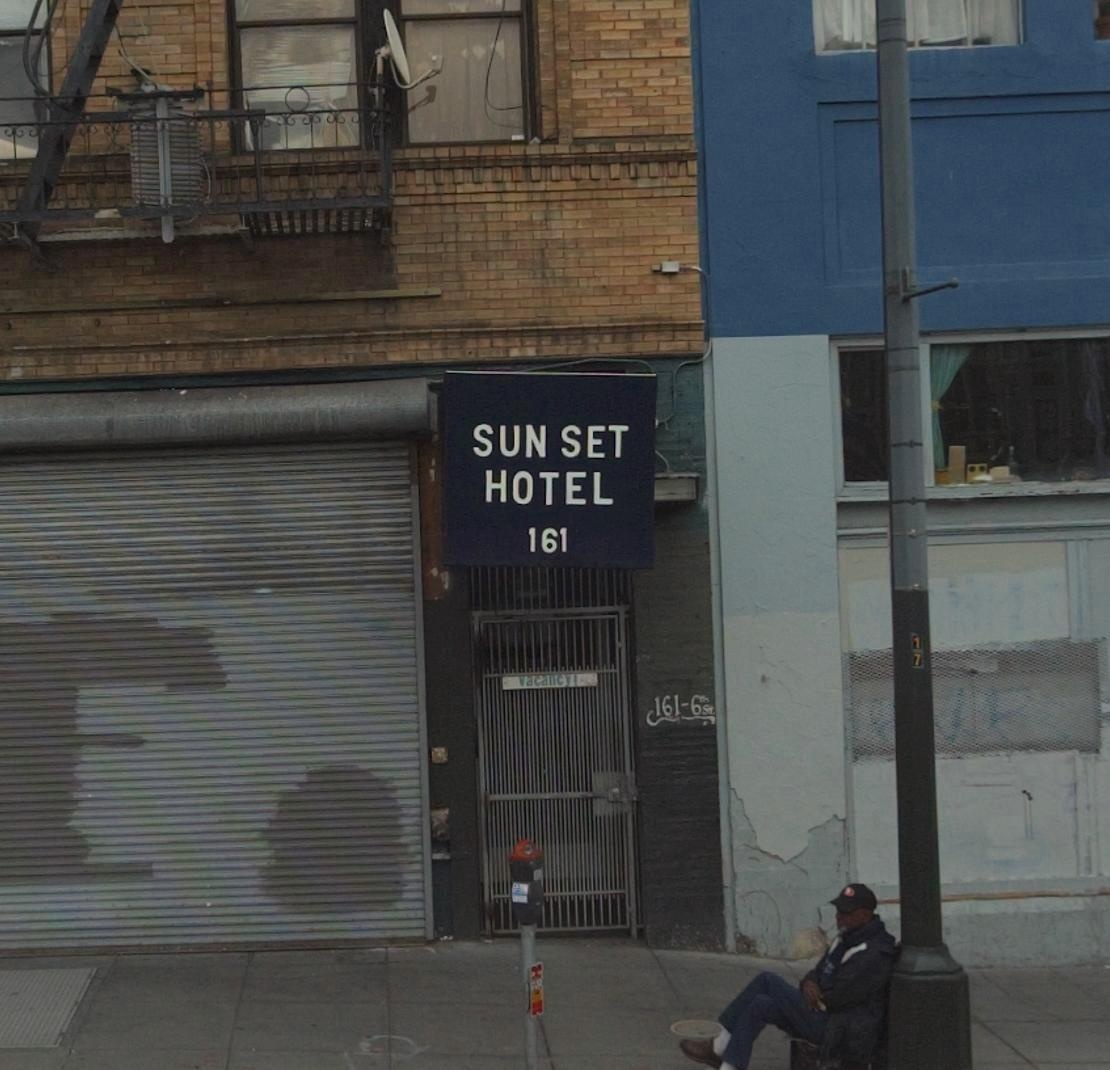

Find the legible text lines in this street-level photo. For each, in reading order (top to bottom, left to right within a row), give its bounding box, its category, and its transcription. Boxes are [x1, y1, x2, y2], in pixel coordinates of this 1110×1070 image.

[469, 421, 633, 462] BusinessName: SUN SET
[481, 466, 617, 508] BusinessName: HOTEL
[526, 525, 570, 556] StreetNumber: 161
[911, 634, 923, 669] None: 17
[514, 671, 574, 690] None: vacancy
[651, 692, 684, 719] StreetNumber: 161
[689, 692, 718, 718] StreetName: 6**St